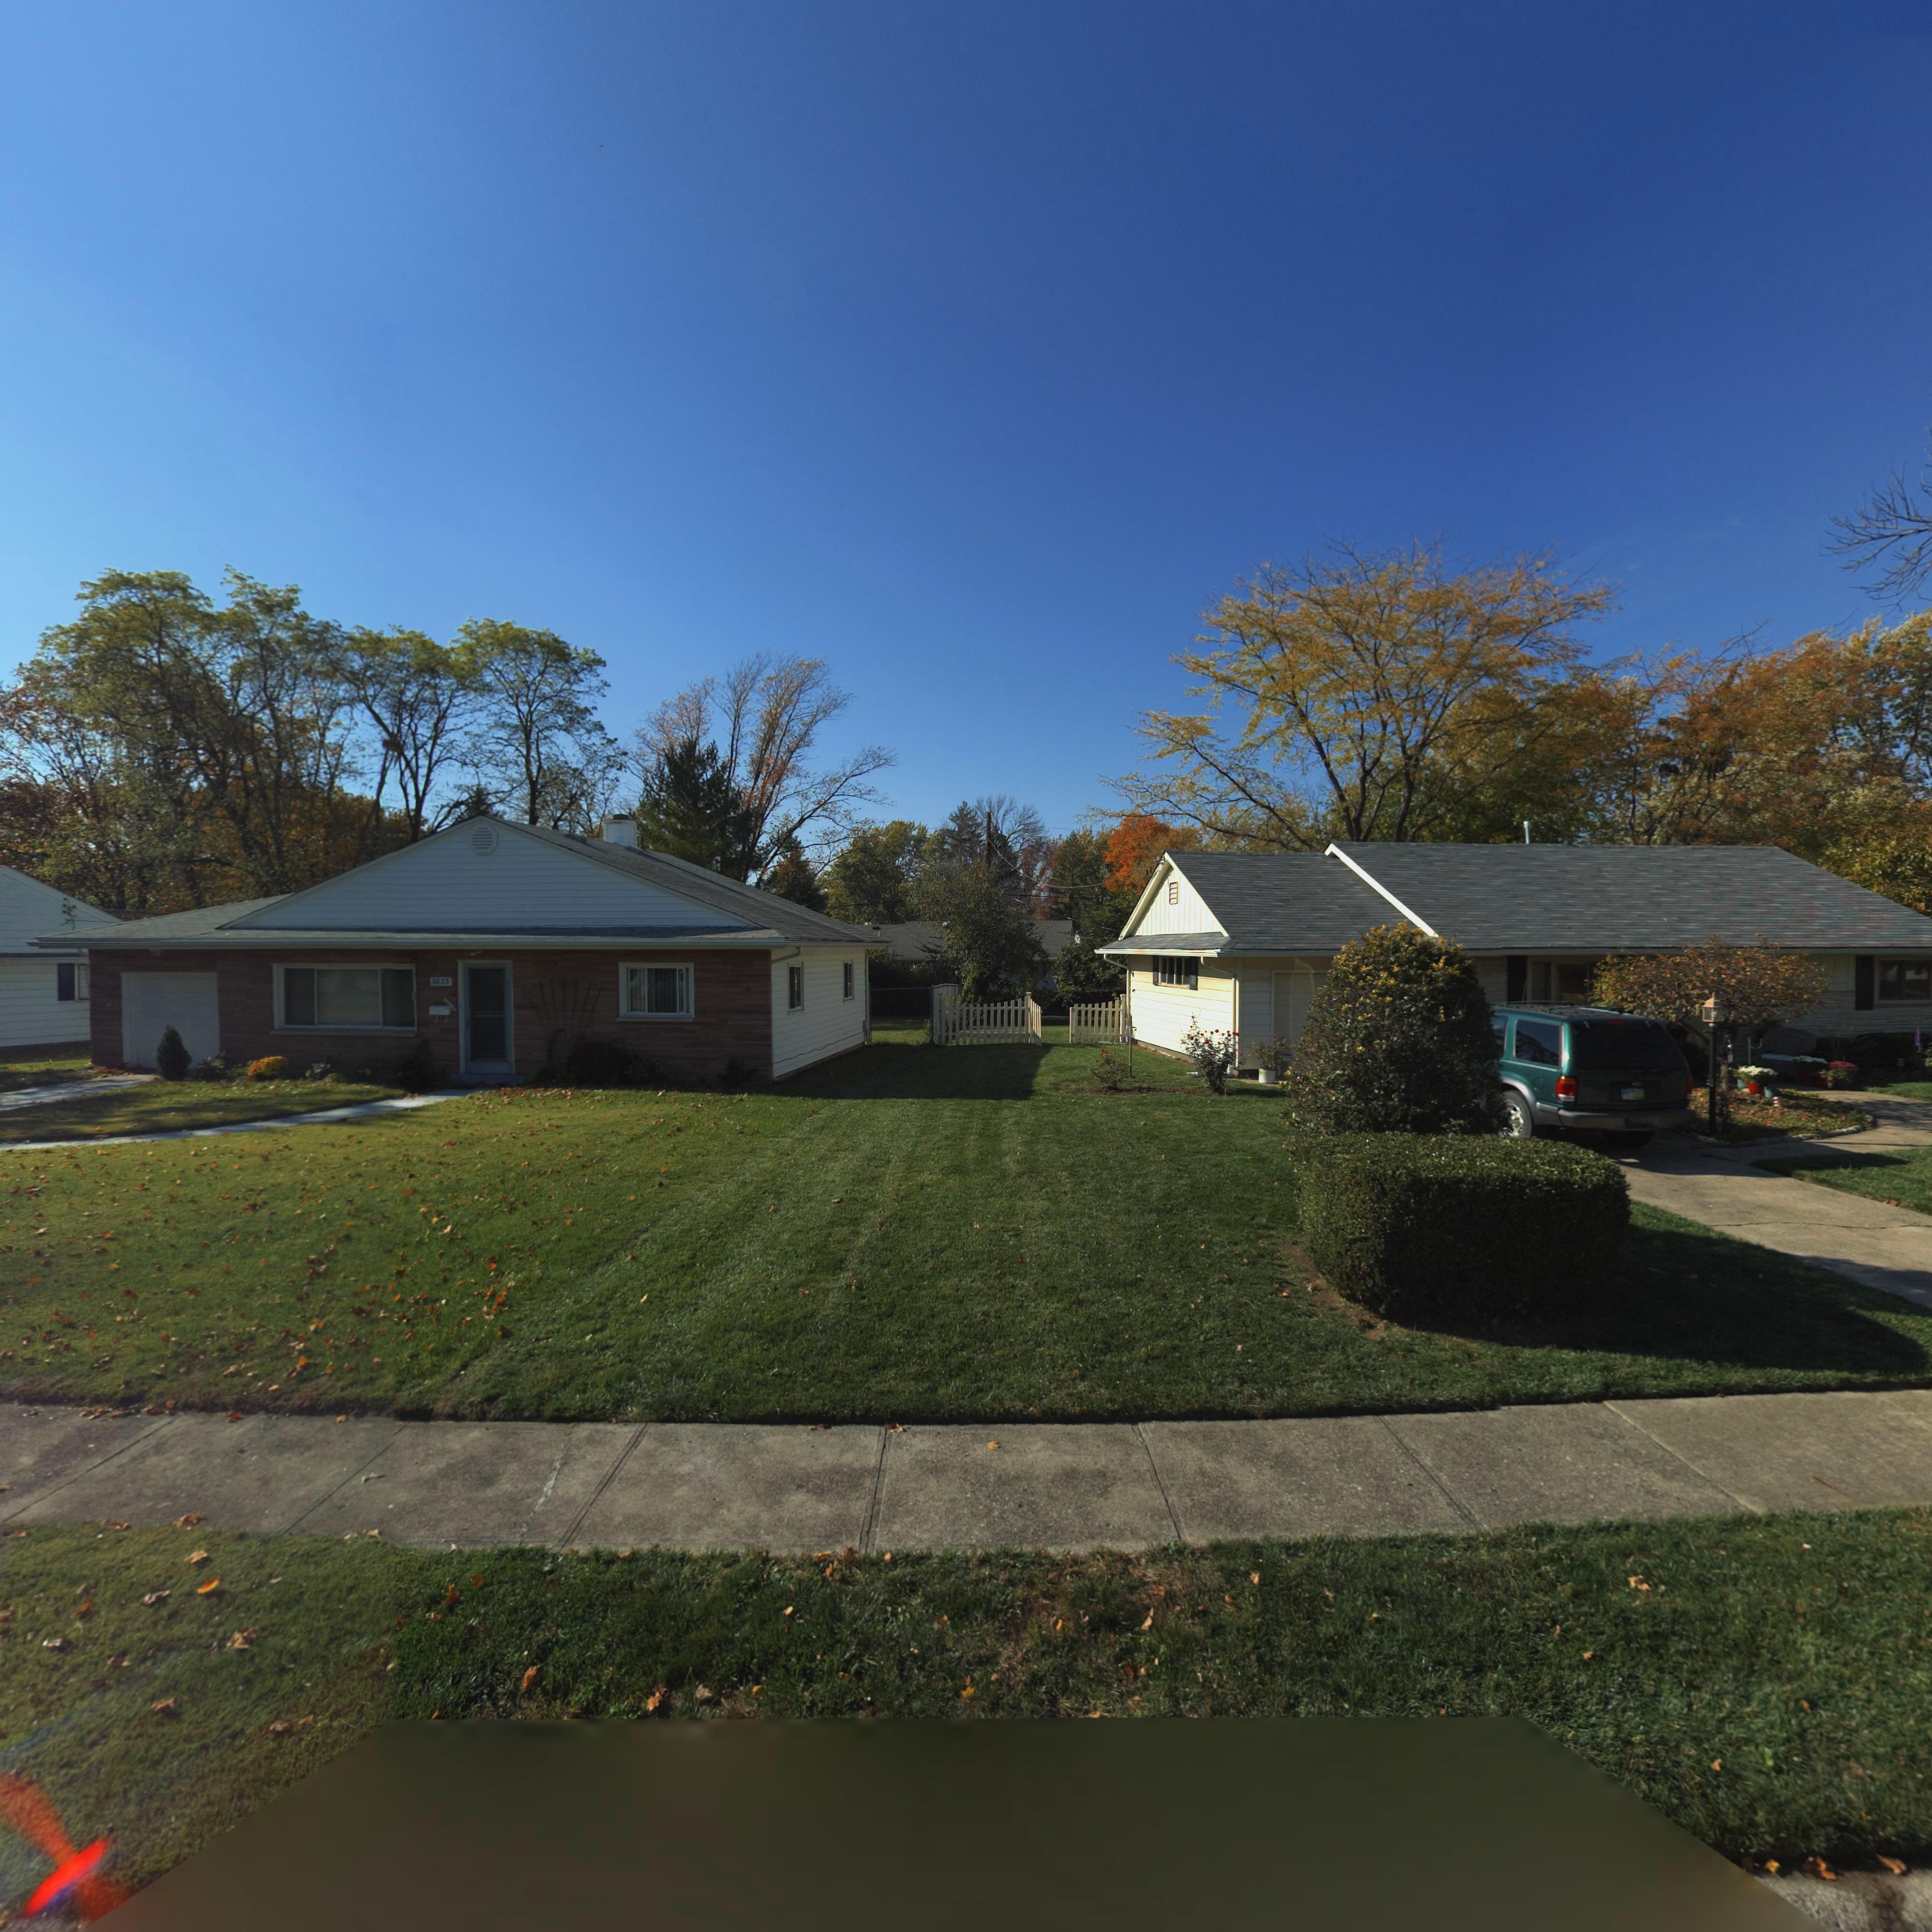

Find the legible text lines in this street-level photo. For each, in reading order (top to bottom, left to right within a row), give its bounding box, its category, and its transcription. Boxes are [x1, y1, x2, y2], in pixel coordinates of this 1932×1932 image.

[430, 977, 450, 985] StreetNumber: 3833